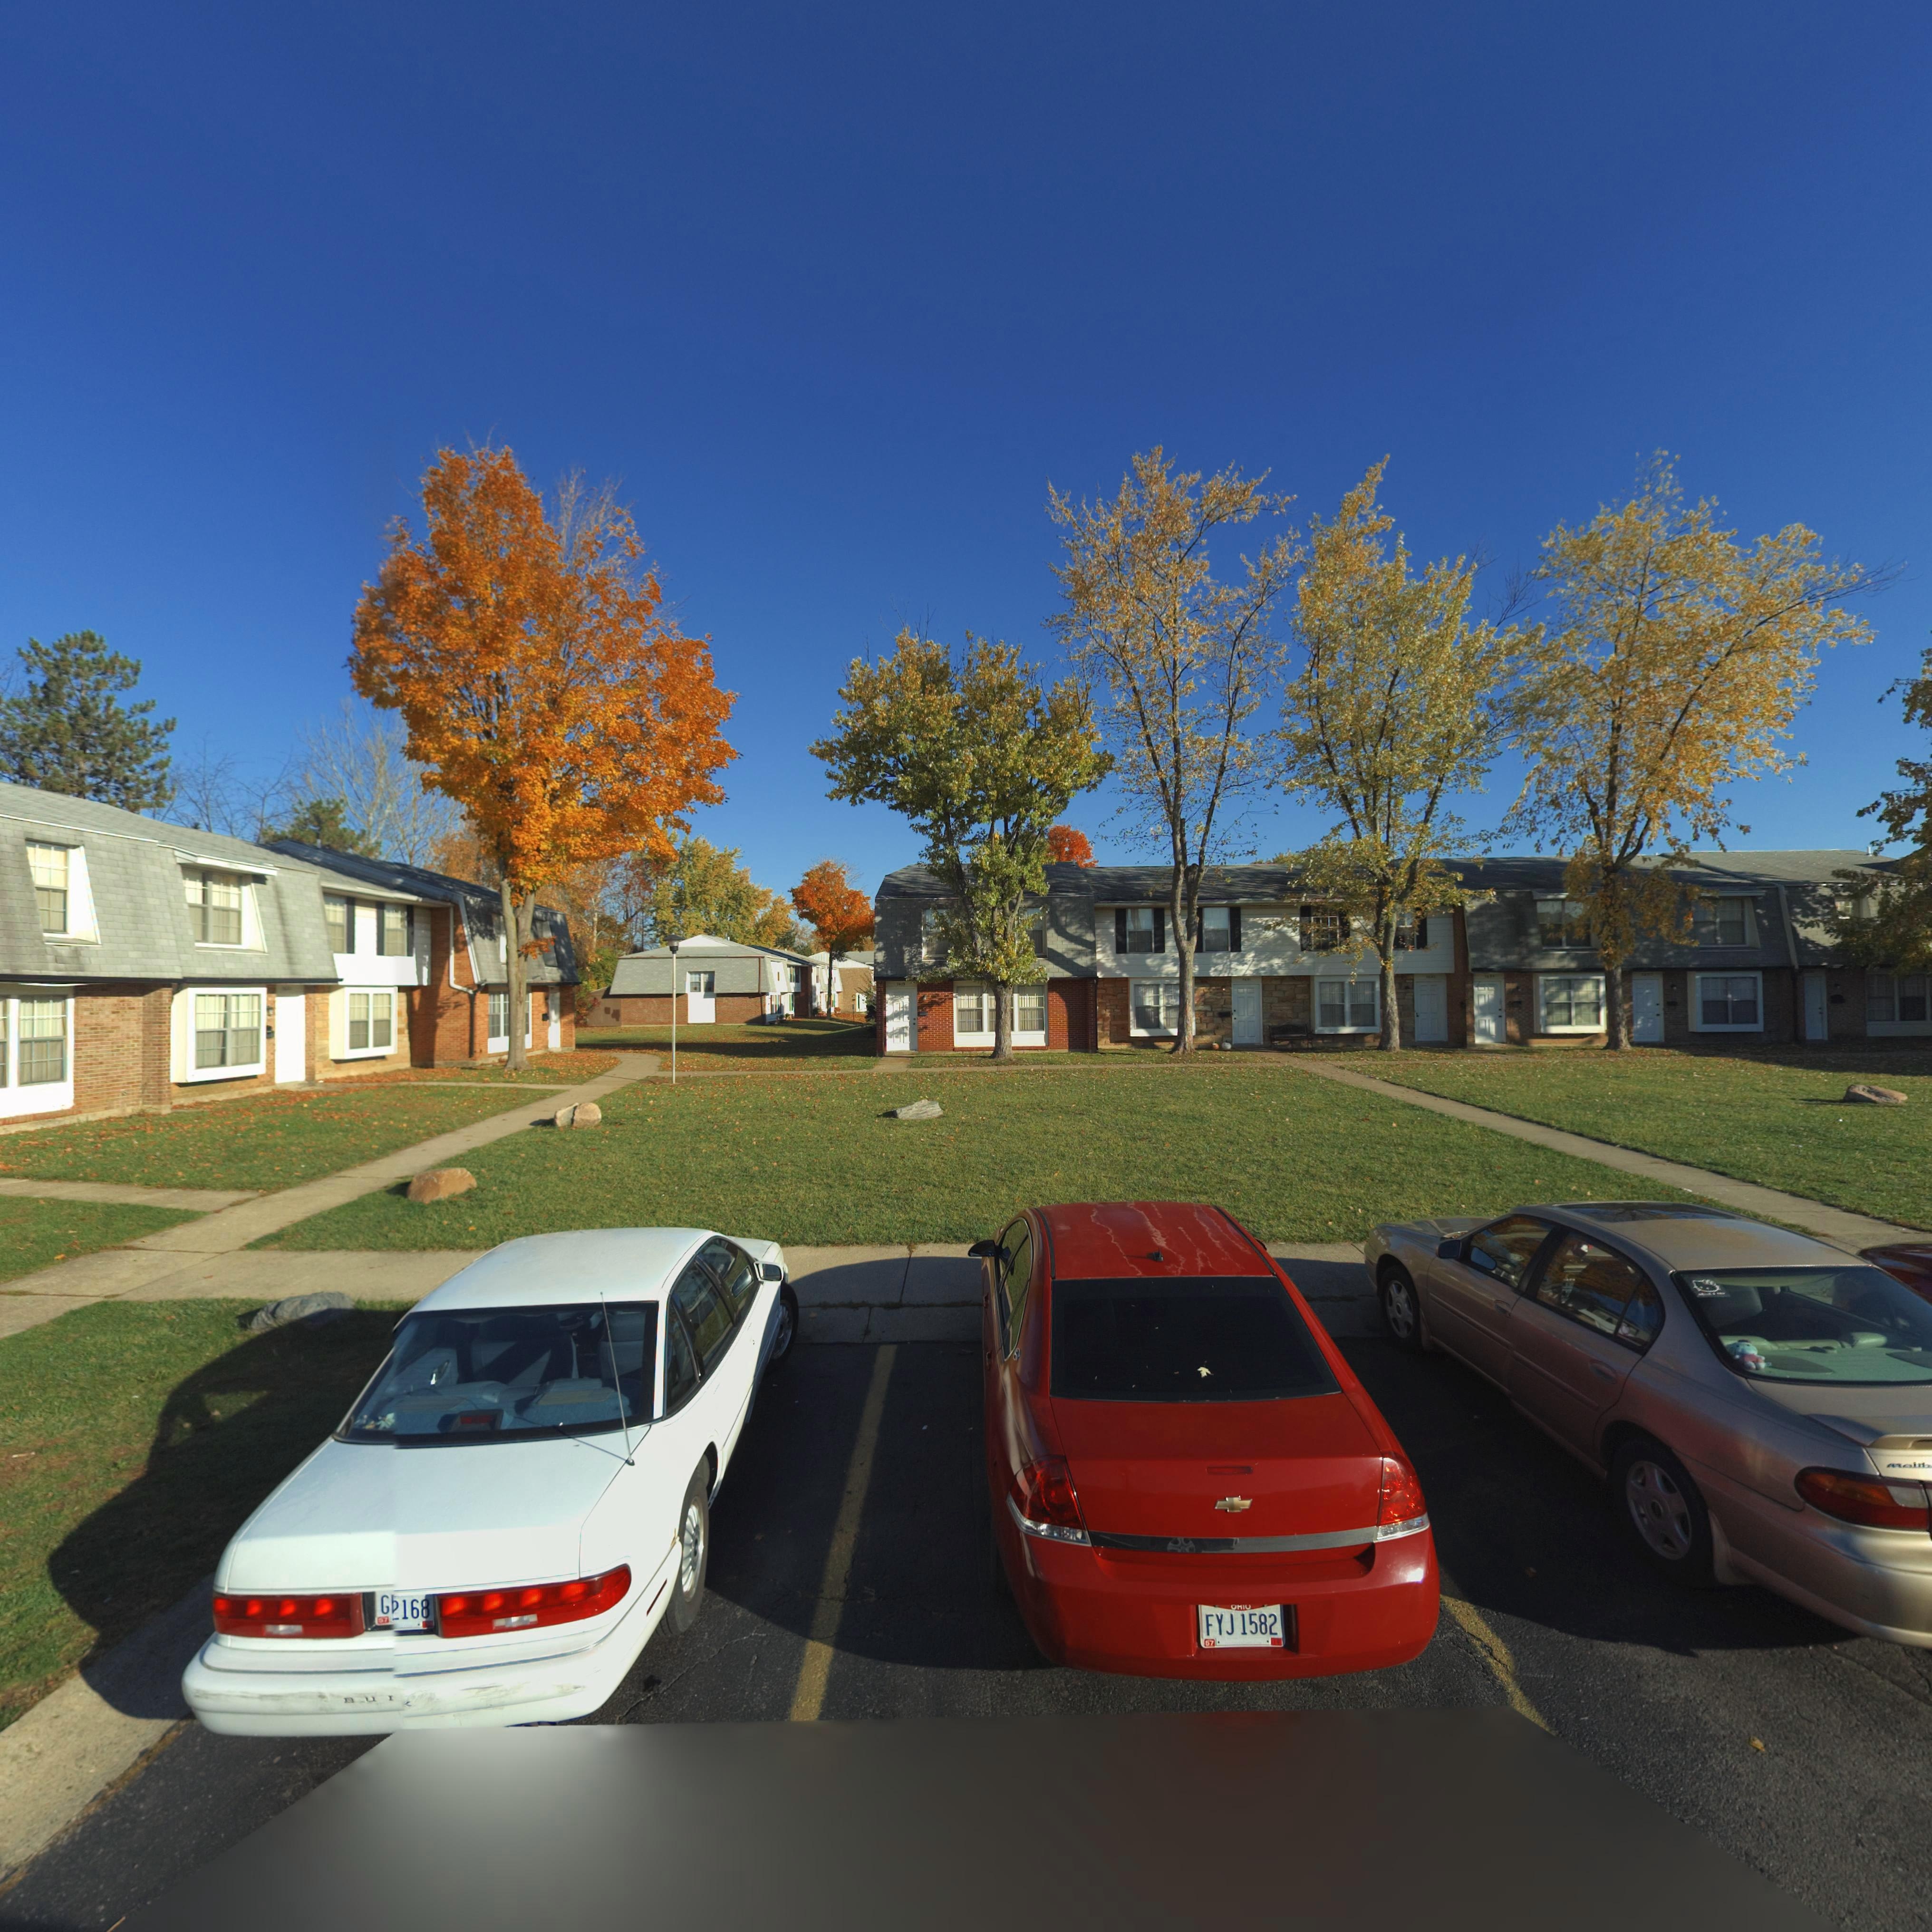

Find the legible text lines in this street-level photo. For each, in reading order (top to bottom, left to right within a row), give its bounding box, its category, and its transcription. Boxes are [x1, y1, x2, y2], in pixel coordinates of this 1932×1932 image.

[1484, 974, 1495, 978] StreetNumber: 7695
[1640, 972, 1654, 976] StreetNumber: 7*97
[1242, 977, 1252, 982] StreetNumber: 7*91
[895, 982, 907, 986] StreetNumber: 7**9